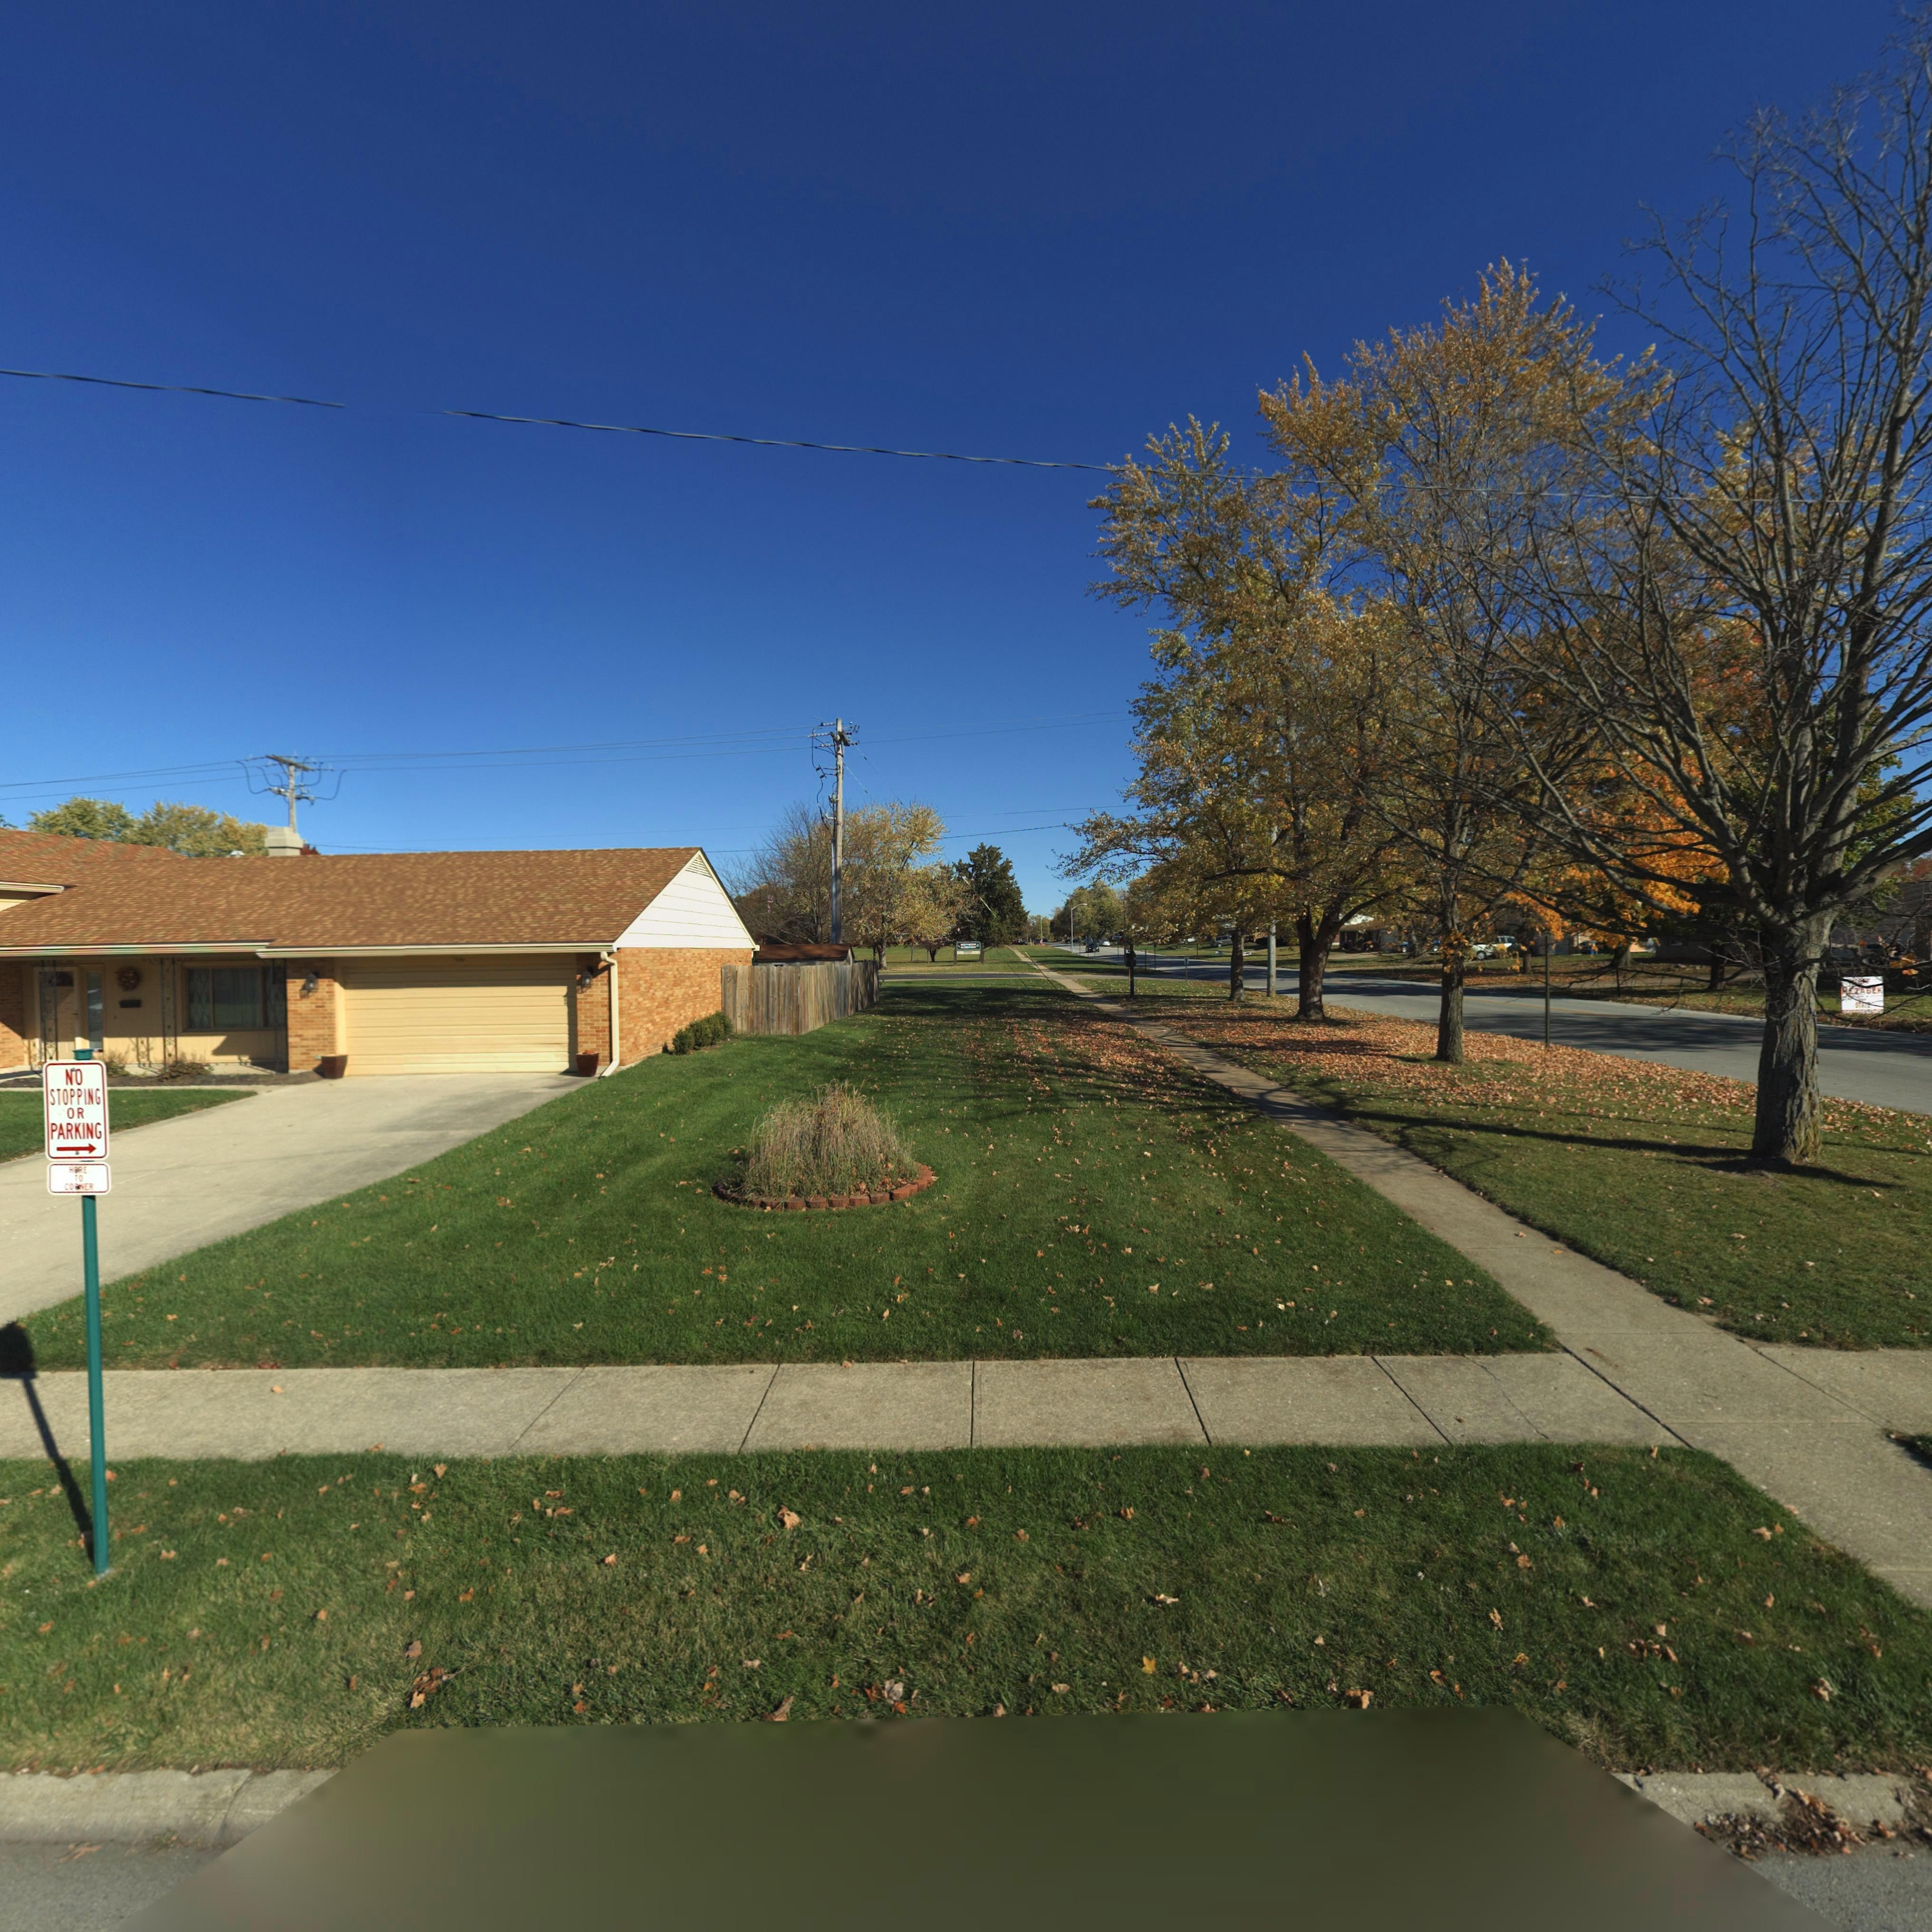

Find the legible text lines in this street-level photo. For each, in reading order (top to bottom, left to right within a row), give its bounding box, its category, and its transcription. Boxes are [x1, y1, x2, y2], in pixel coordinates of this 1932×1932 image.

[450, 956, 466, 962] StreetNumber: 7***
[64, 1068, 84, 1086] None: NO
[48, 1087, 102, 1106] None: STOPPING
[67, 1106, 85, 1120] None: OR
[49, 1121, 103, 1140] None: PARKING
[68, 1165, 87, 1174] None: H**E
[74, 1174, 85, 1182] None: TO
[64, 1182, 95, 1191] None: CO**ER